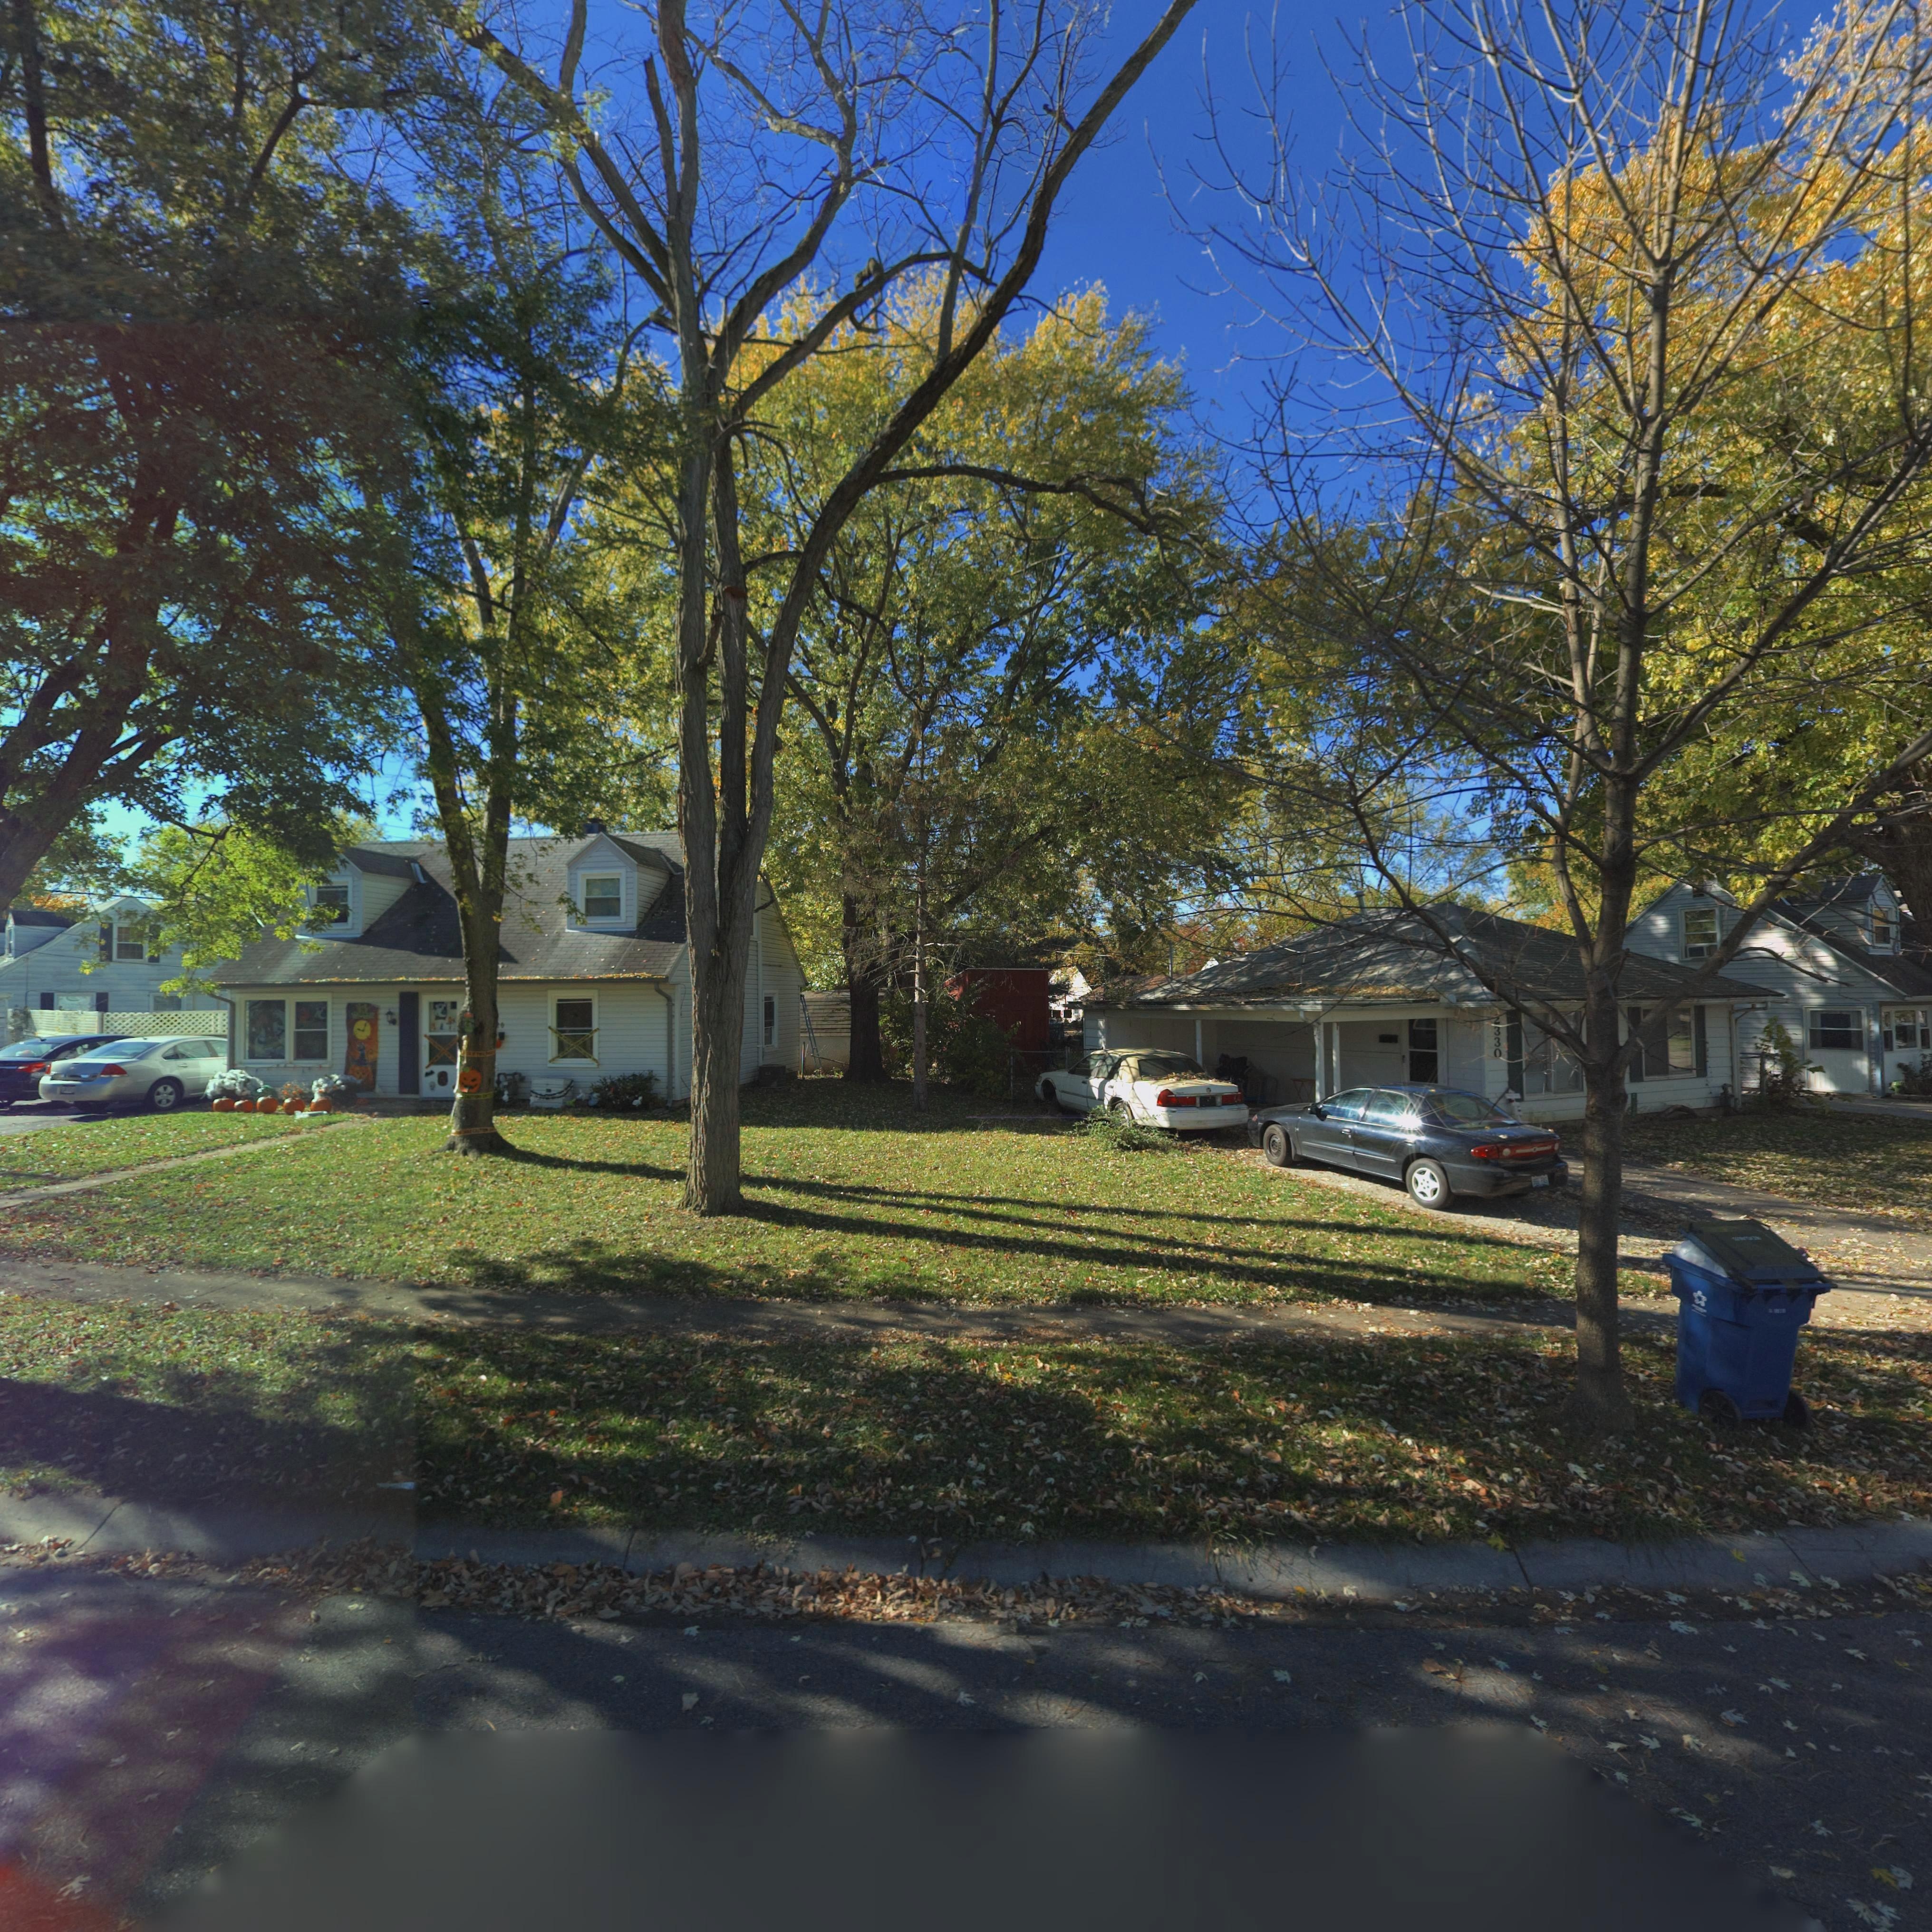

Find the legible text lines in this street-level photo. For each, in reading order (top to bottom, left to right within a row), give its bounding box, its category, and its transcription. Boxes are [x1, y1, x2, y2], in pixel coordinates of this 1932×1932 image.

[1493, 1025, 1503, 1060] StreetNumber: 330